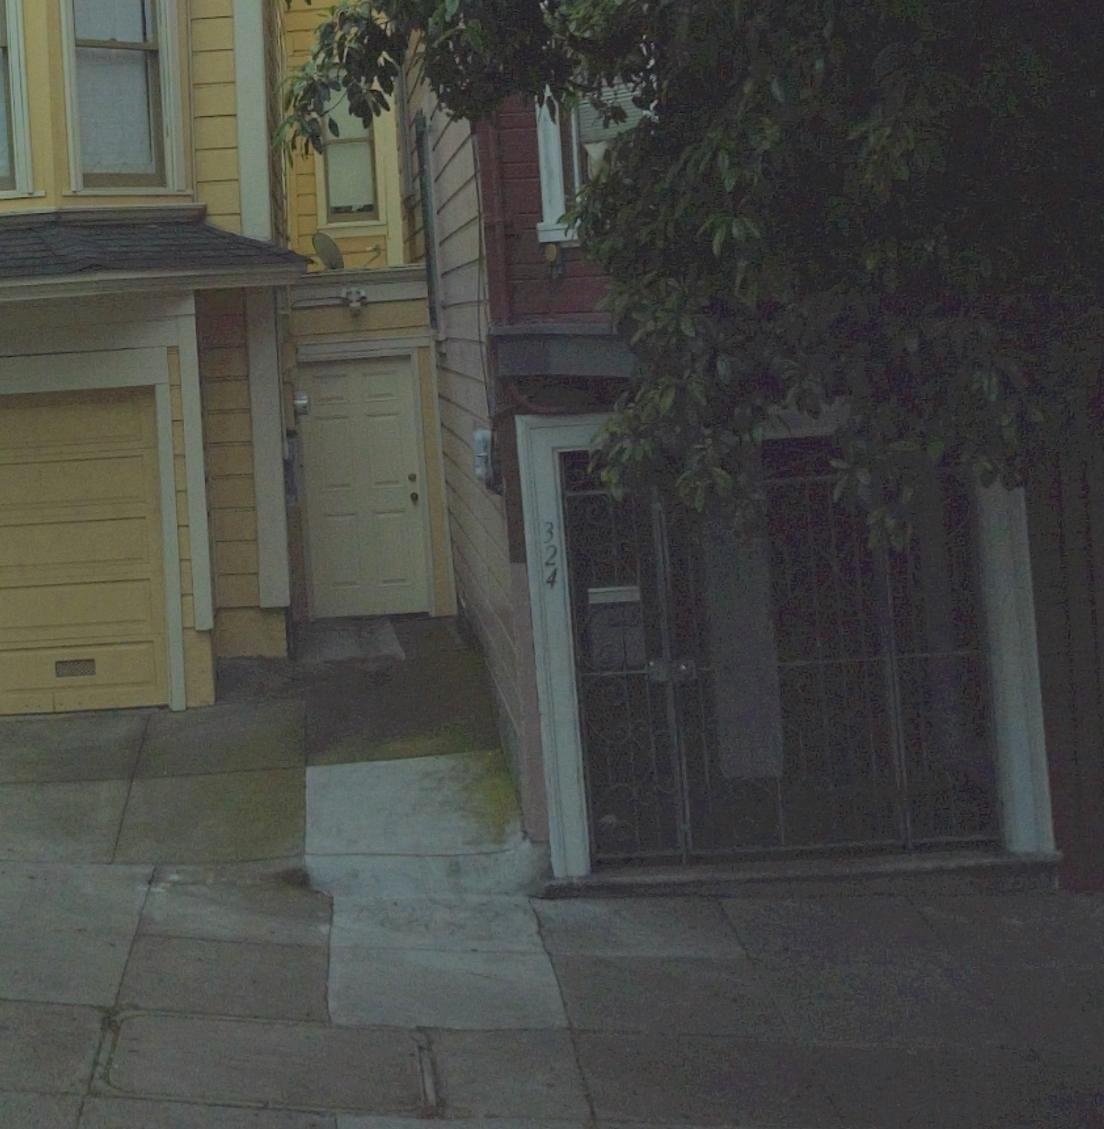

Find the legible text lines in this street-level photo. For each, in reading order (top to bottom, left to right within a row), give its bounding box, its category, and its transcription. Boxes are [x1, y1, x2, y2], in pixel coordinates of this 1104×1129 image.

[540, 518, 561, 591] StreetNumber: 324